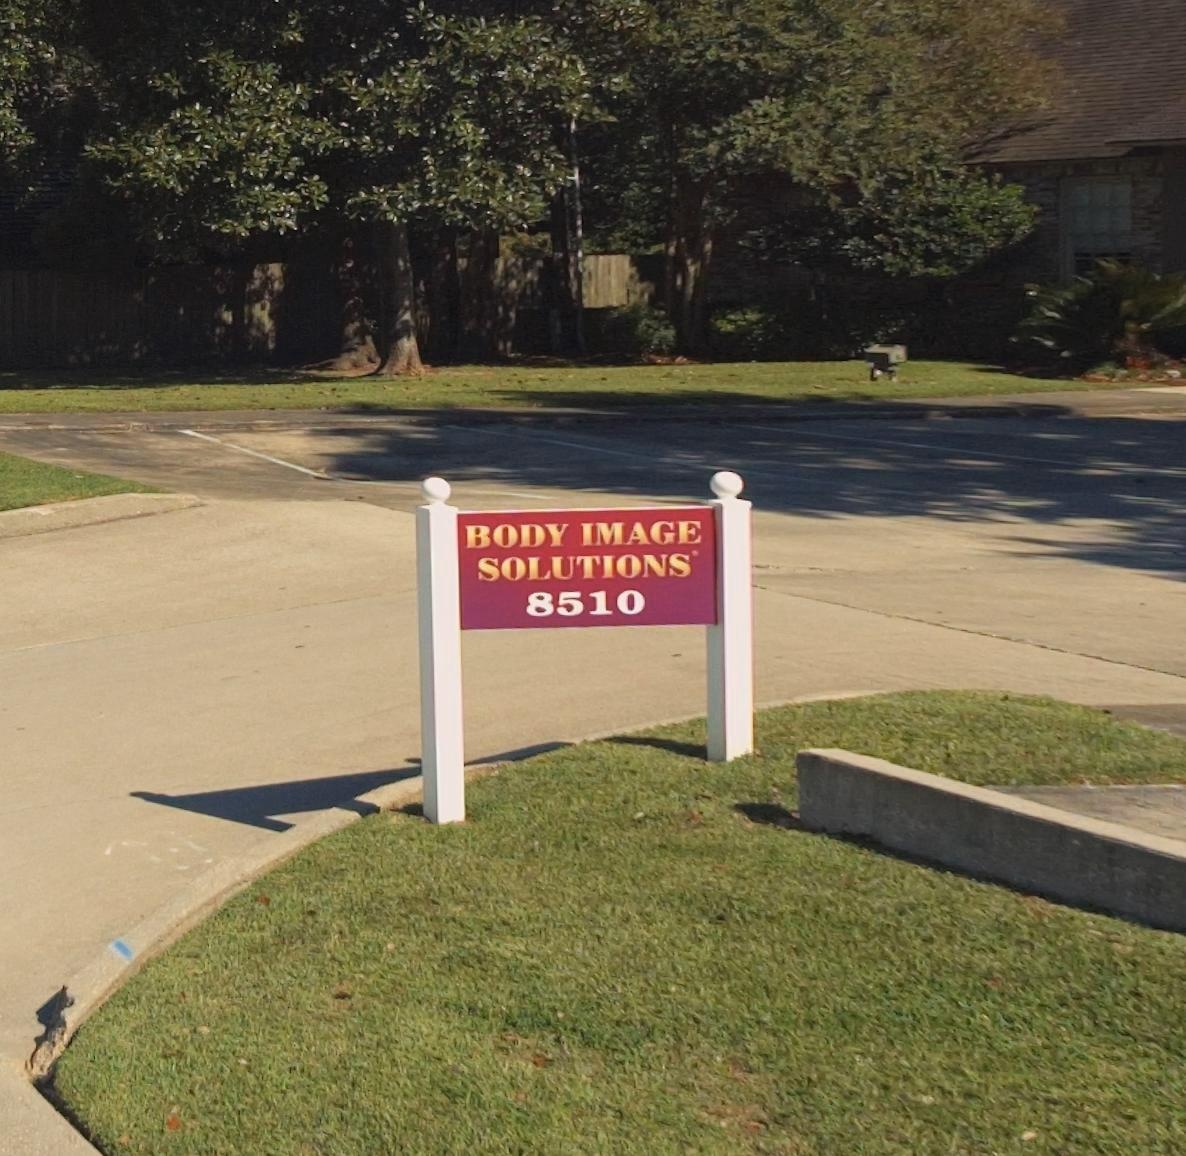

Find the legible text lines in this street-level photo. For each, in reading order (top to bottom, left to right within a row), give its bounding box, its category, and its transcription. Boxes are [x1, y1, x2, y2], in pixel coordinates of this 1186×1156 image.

[464, 516, 705, 551] BusinessName: BODY IMAGE
[476, 551, 692, 583] BusinessName: SOLUTIONS
[524, 588, 647, 618] StreetNumber: 8510